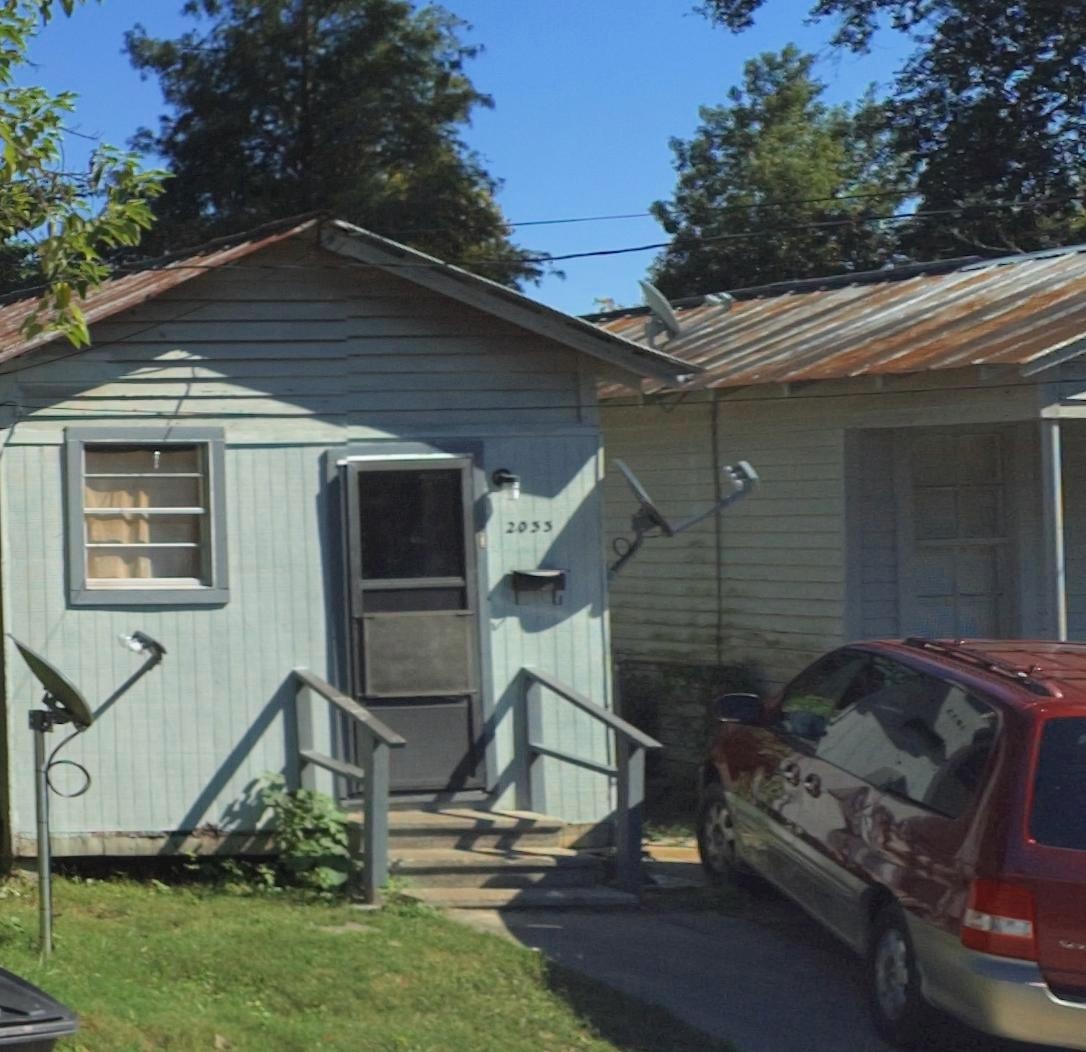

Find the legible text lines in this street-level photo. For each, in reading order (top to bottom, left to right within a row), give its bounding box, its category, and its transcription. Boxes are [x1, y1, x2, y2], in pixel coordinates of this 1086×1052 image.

[503, 517, 555, 537] StreetNumber: 20**